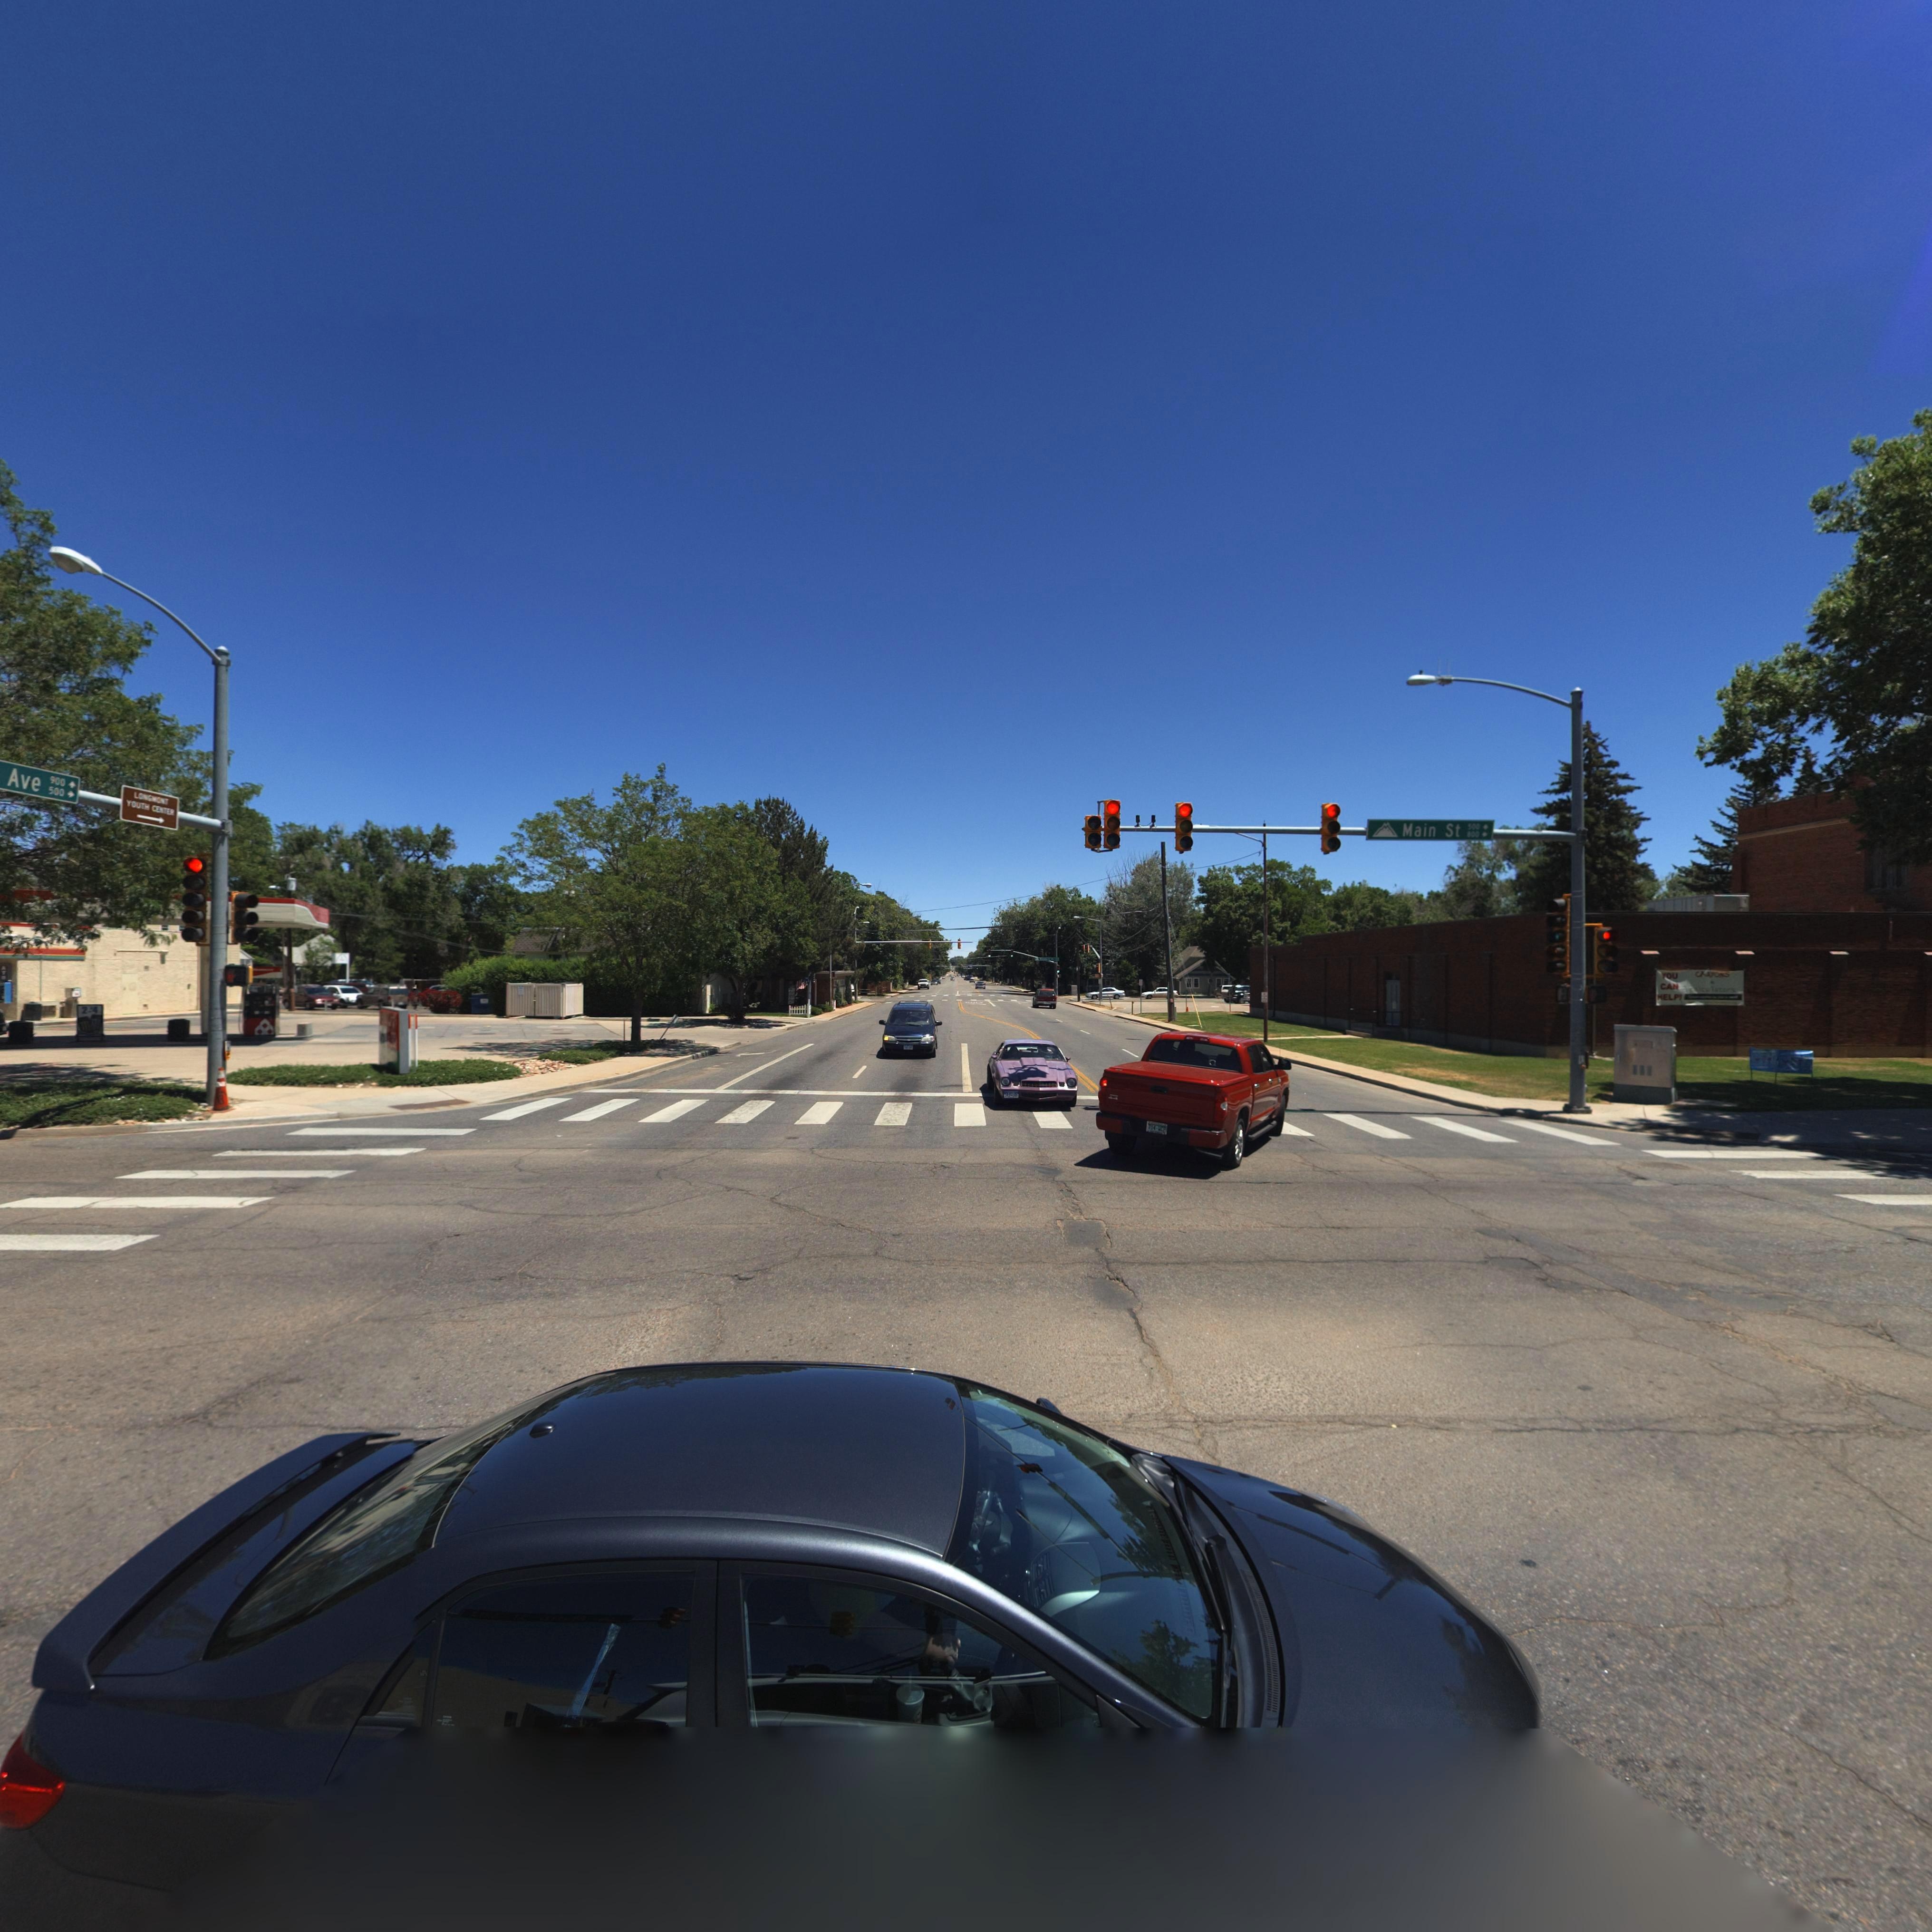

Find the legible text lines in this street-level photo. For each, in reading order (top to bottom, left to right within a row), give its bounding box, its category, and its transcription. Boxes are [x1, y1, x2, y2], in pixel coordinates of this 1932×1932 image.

[7, 767, 41, 792] StreetName: Ave
[50, 775, 65, 786] StreetNumberRange: 900
[48, 786, 75, 798] StreetNumberRange: 500->
[1402, 822, 1461, 838] StreetName: Main St
[1468, 823, 1479, 830] StreetNumberRange: 500
[1466, 831, 1488, 838] StreetNumberRange: 600->